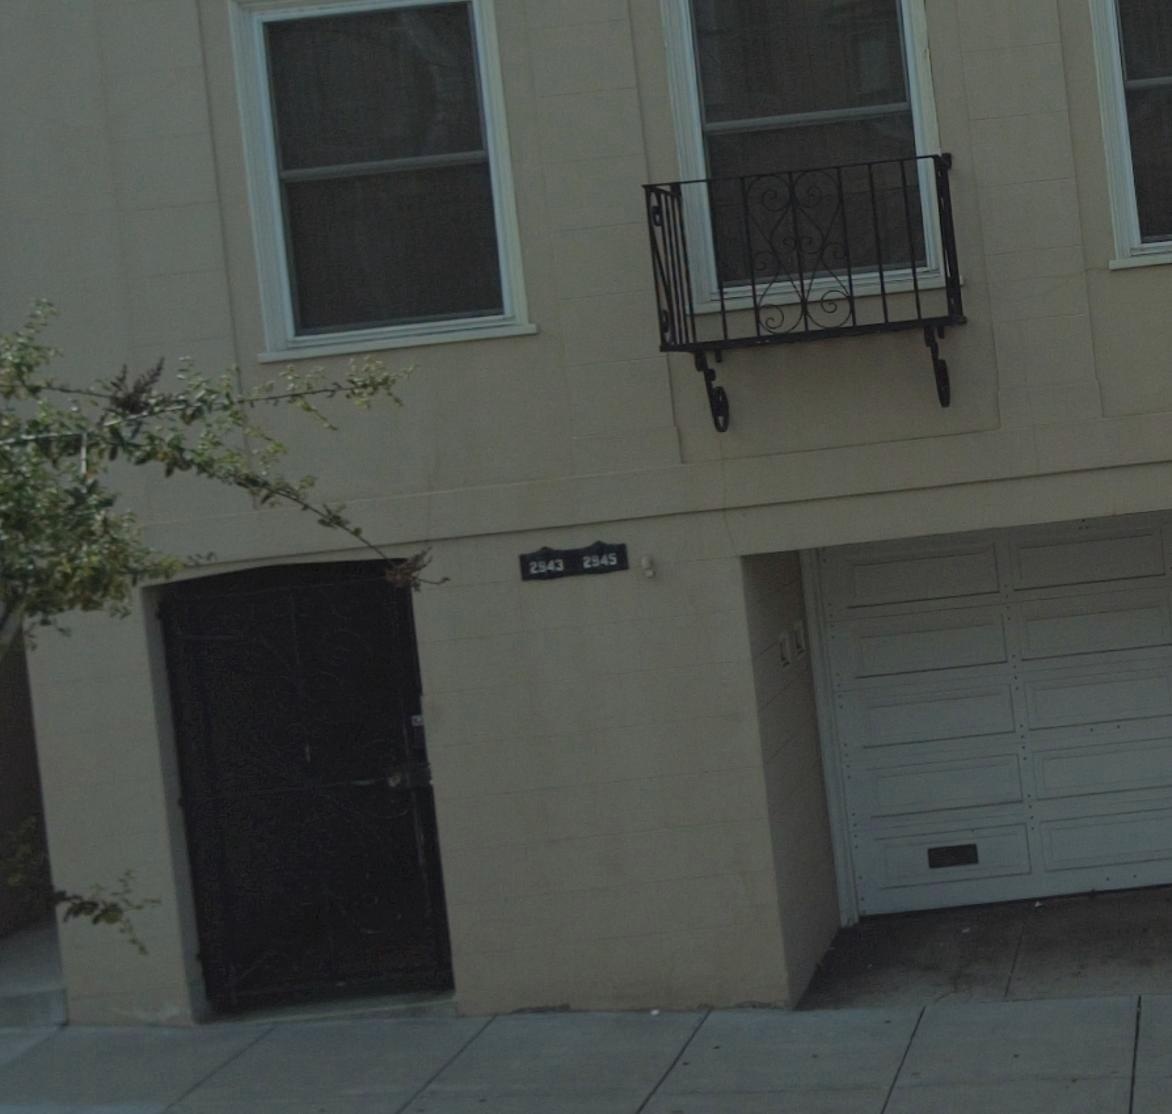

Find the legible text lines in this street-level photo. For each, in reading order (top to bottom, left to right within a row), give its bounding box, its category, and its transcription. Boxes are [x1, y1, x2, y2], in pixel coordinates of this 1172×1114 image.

[527, 556, 567, 577] StreetNumber: 2943
[580, 550, 620, 570] StreetNumber: 2945